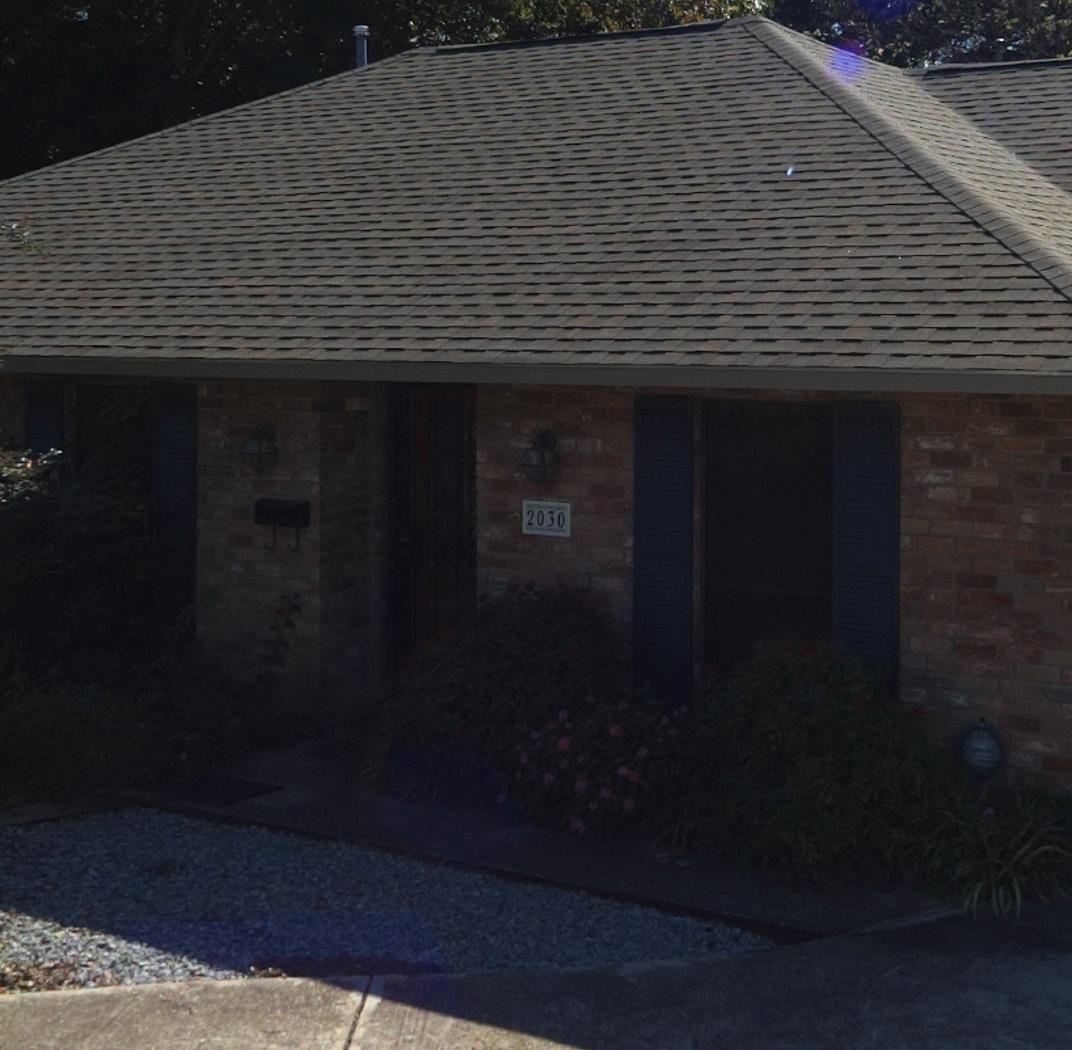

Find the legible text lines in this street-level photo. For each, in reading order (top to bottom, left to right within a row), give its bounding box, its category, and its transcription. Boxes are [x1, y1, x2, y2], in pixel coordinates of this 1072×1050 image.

[526, 508, 566, 529] StreetNumber: 2030